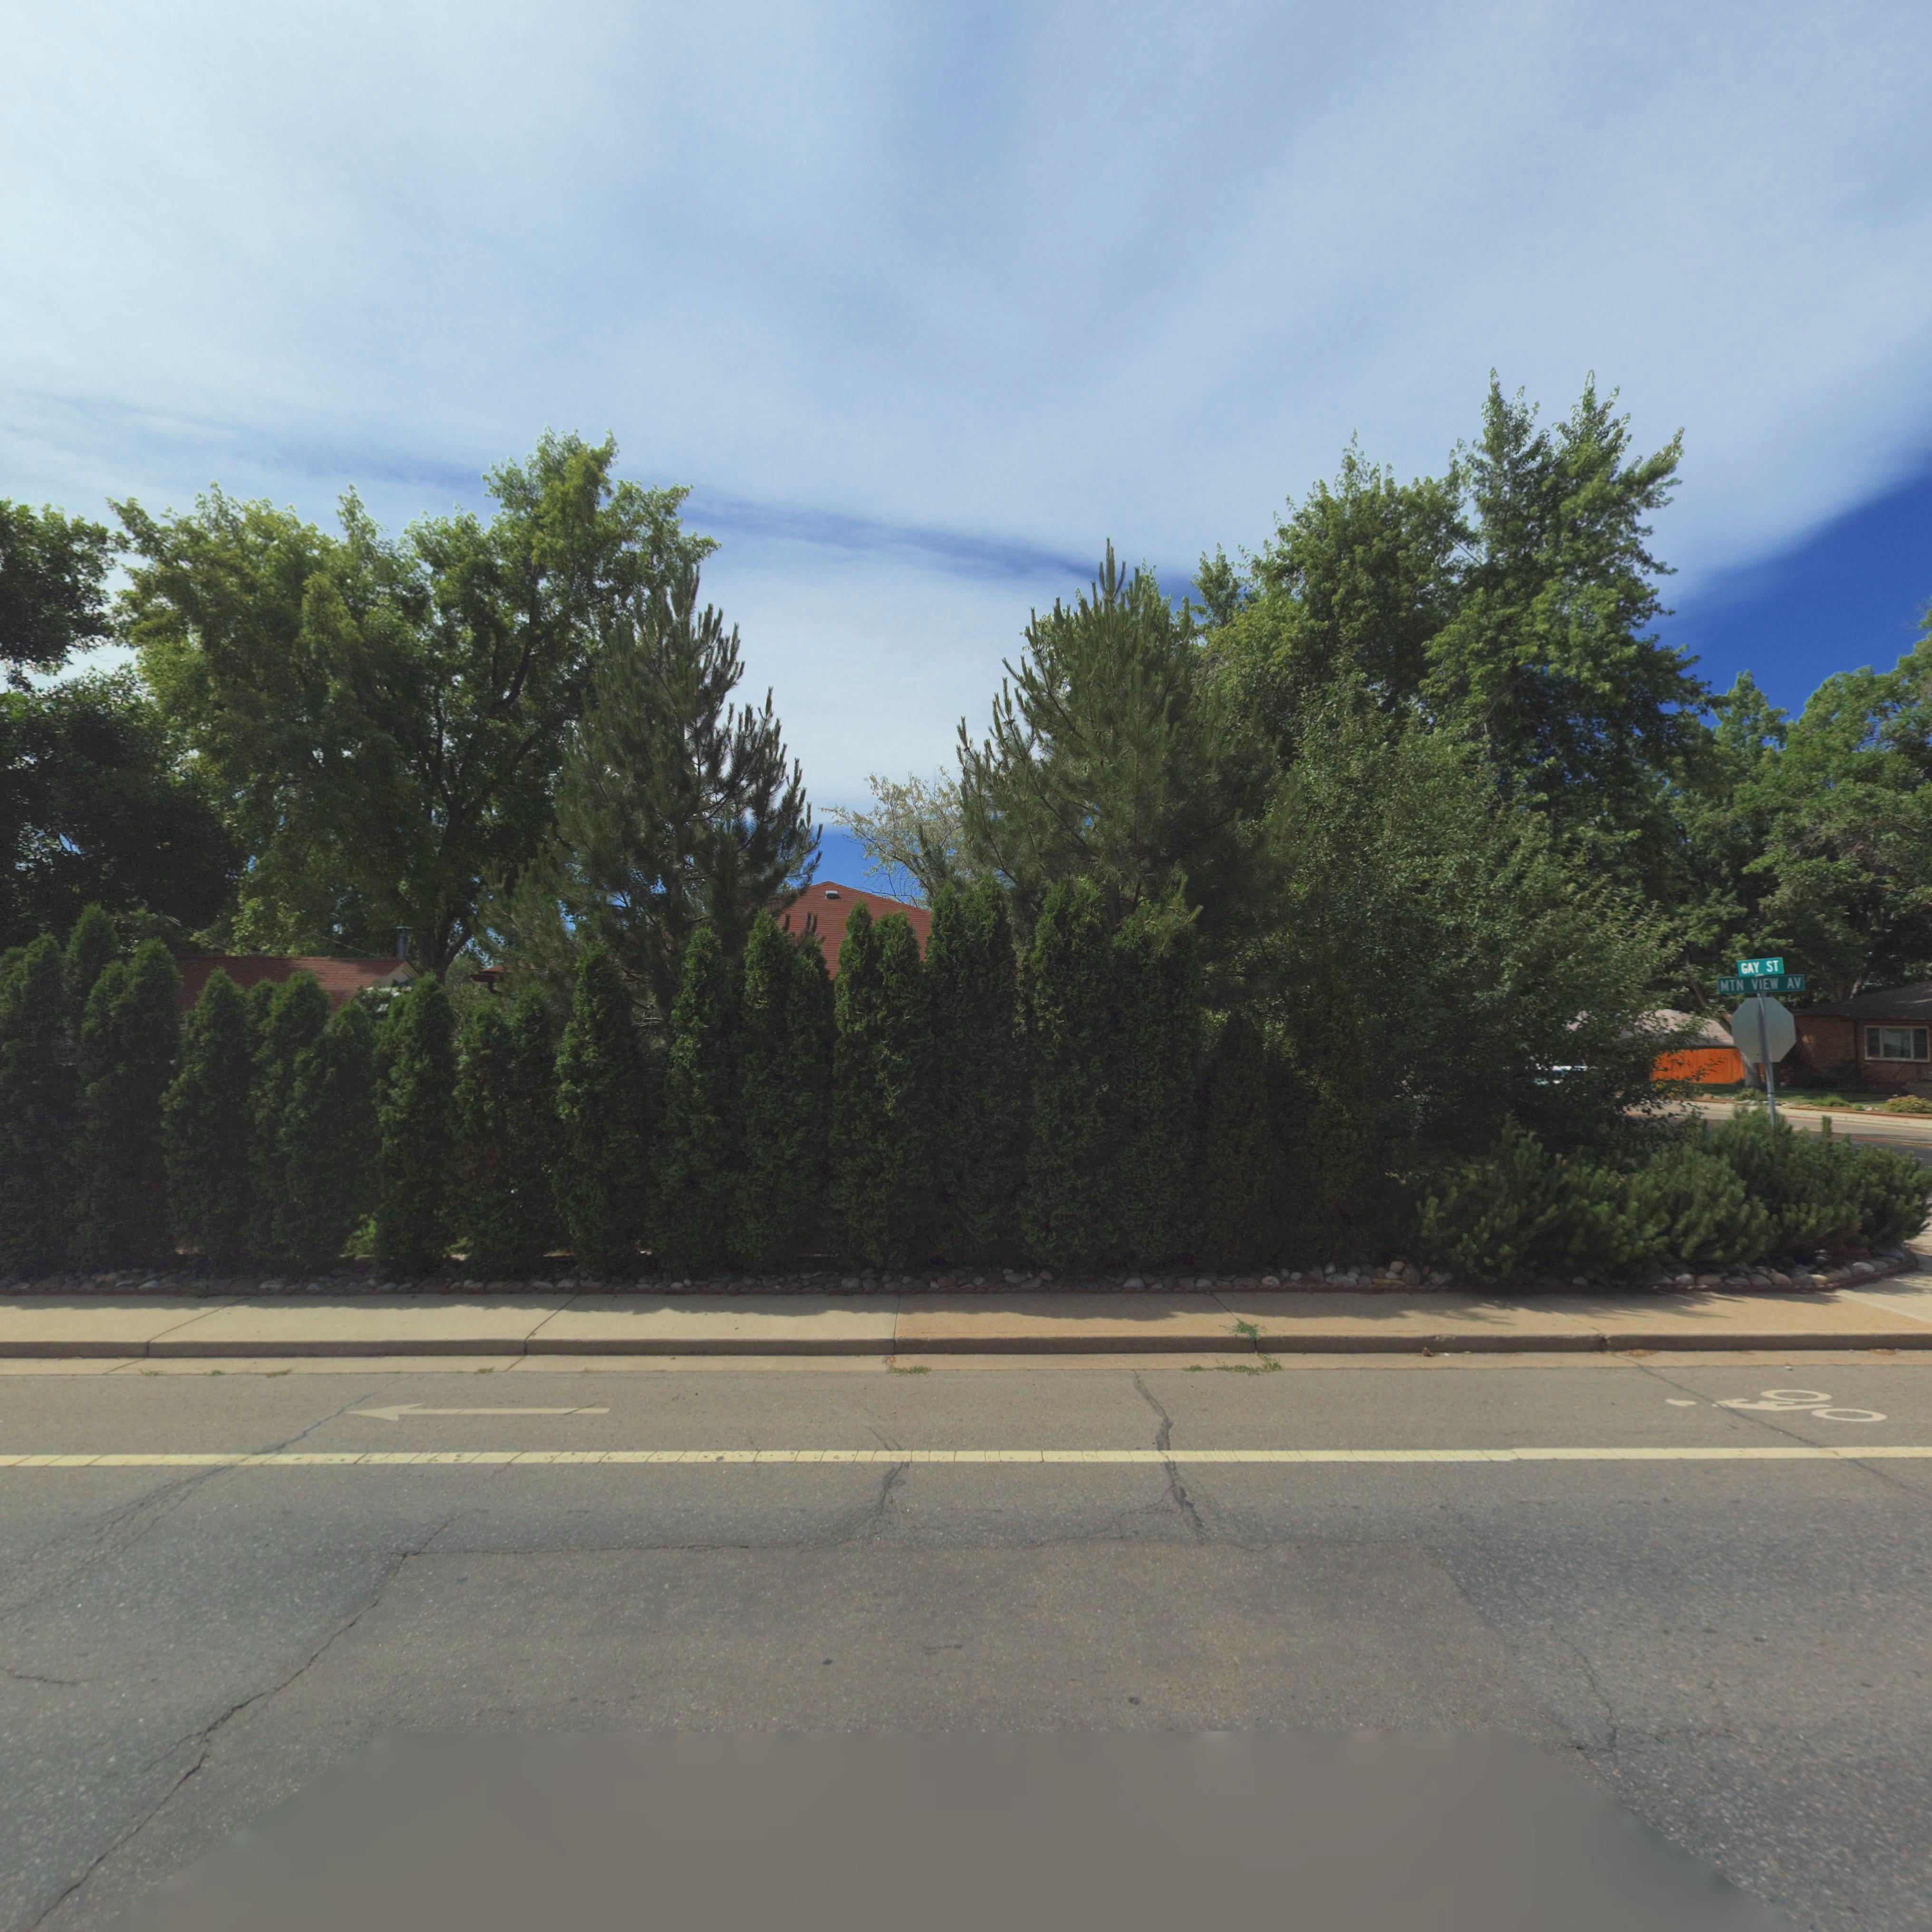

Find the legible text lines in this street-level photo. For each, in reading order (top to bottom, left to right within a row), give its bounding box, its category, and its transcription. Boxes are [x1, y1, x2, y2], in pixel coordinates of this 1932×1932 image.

[1740, 959, 1779, 974] StreetName: GAY ST
[1719, 976, 1802, 992] StreetName: MTN VIEW AV